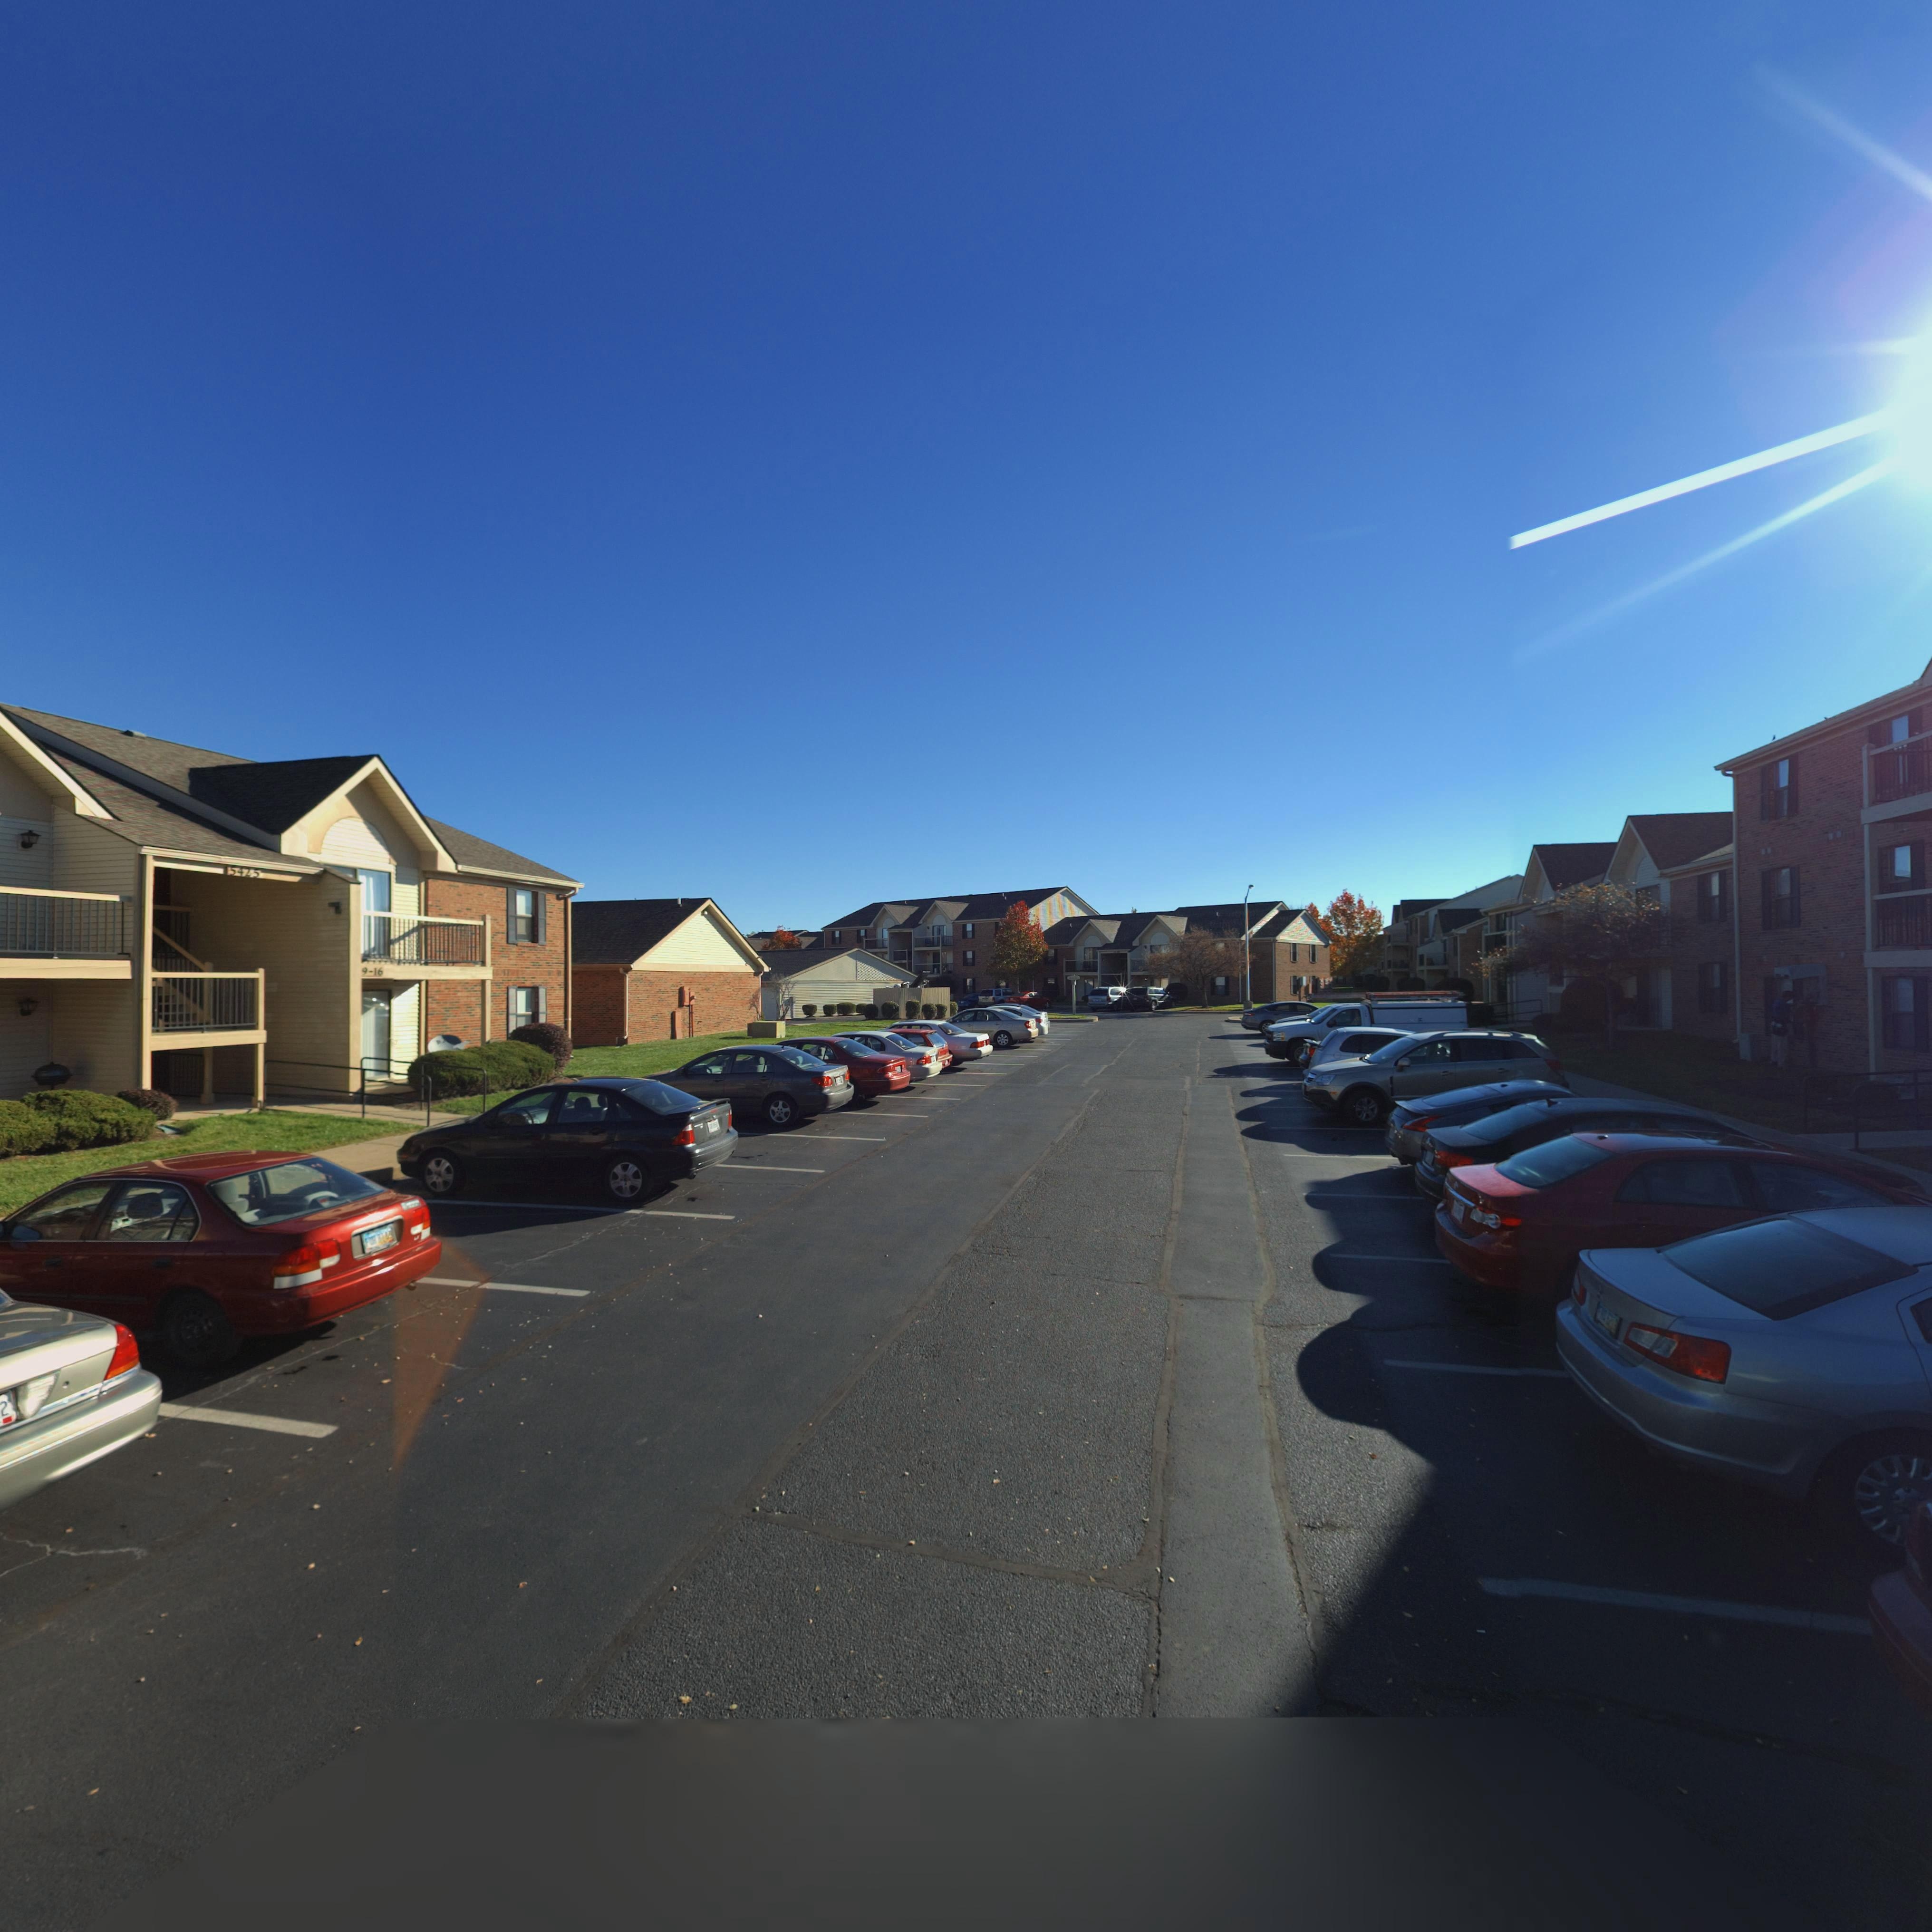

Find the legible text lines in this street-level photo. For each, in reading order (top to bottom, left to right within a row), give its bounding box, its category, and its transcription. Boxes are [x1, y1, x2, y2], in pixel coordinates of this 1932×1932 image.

[229, 866, 261, 879] StreetNumber: 5425
[362, 966, 384, 976] StreetNumber: 9-16